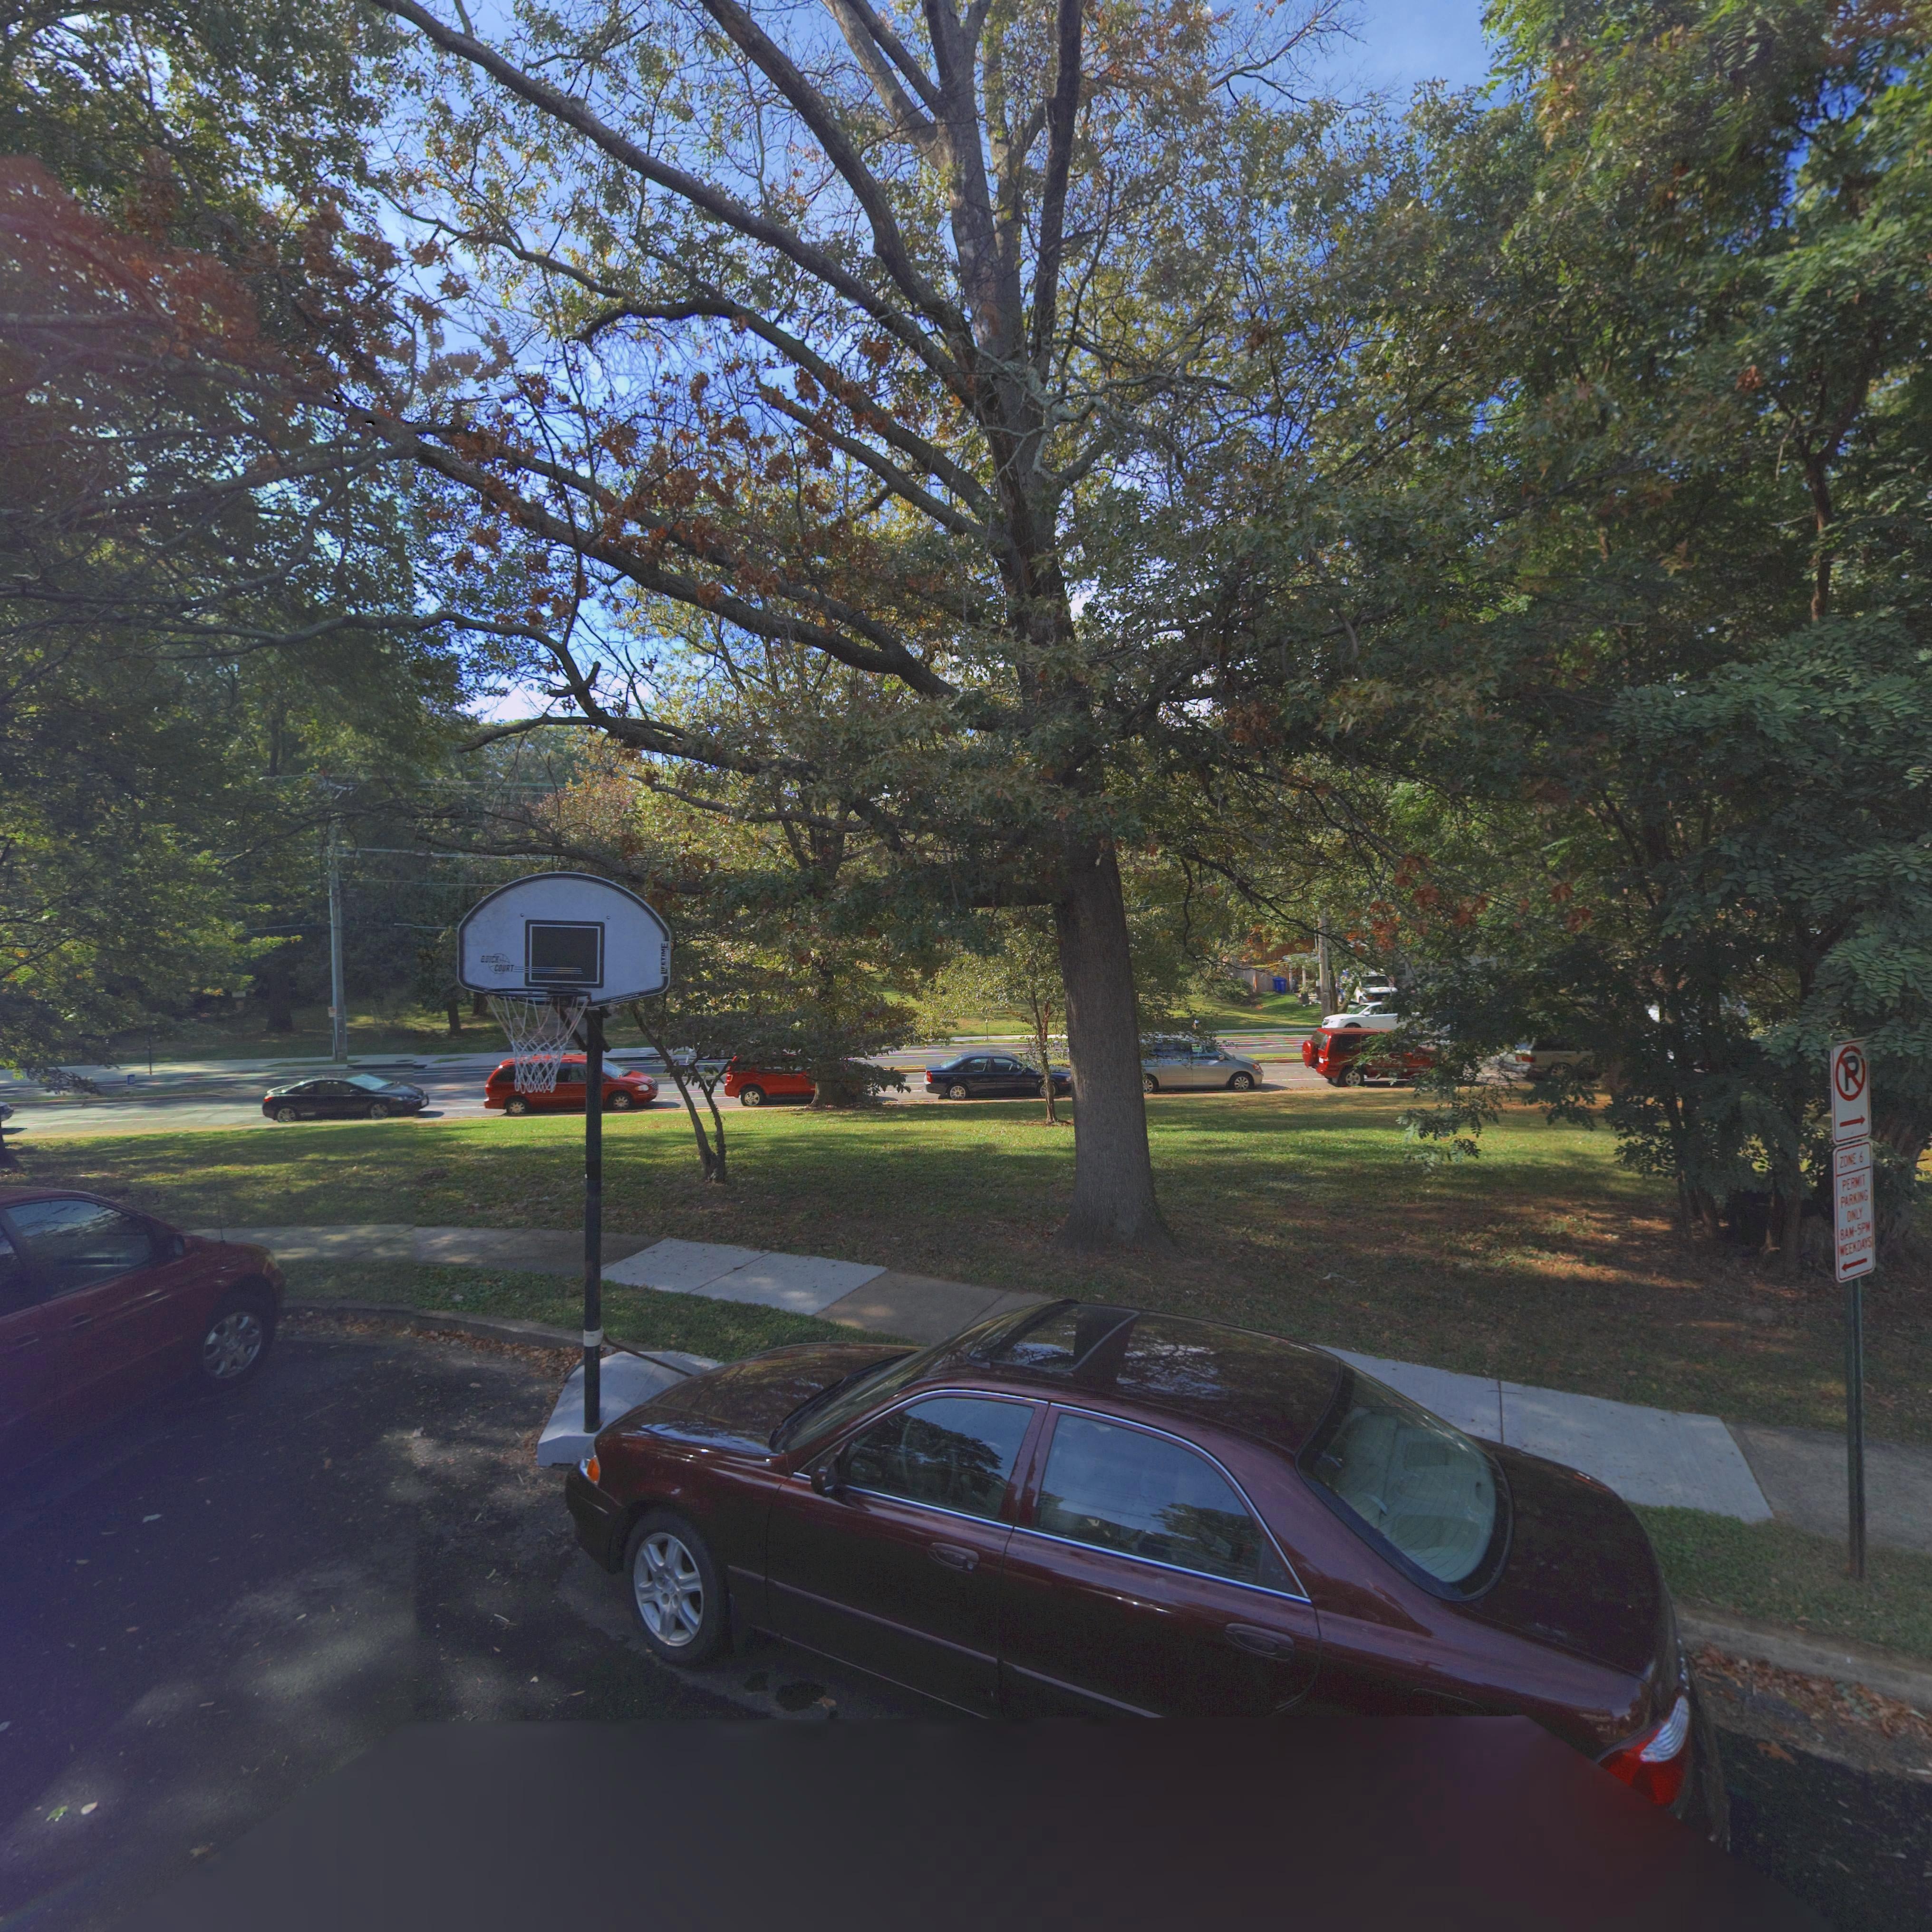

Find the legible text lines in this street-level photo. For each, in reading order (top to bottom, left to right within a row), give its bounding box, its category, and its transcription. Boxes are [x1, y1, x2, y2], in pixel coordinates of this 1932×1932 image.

[480, 955, 500, 964] None: QUICK
[493, 964, 515, 973] None: COURT
[1838, 1149, 1866, 1170] None: ZONE 6
[1840, 1171, 1868, 1194] None: PERMIT
[1839, 1187, 1870, 1210] None: PARKING
[1845, 1205, 1864, 1225] None: ONLY
[1838, 1217, 1872, 1243] None: 8AM*5PM
[1837, 1234, 1874, 1259] None: WEEKDAYS